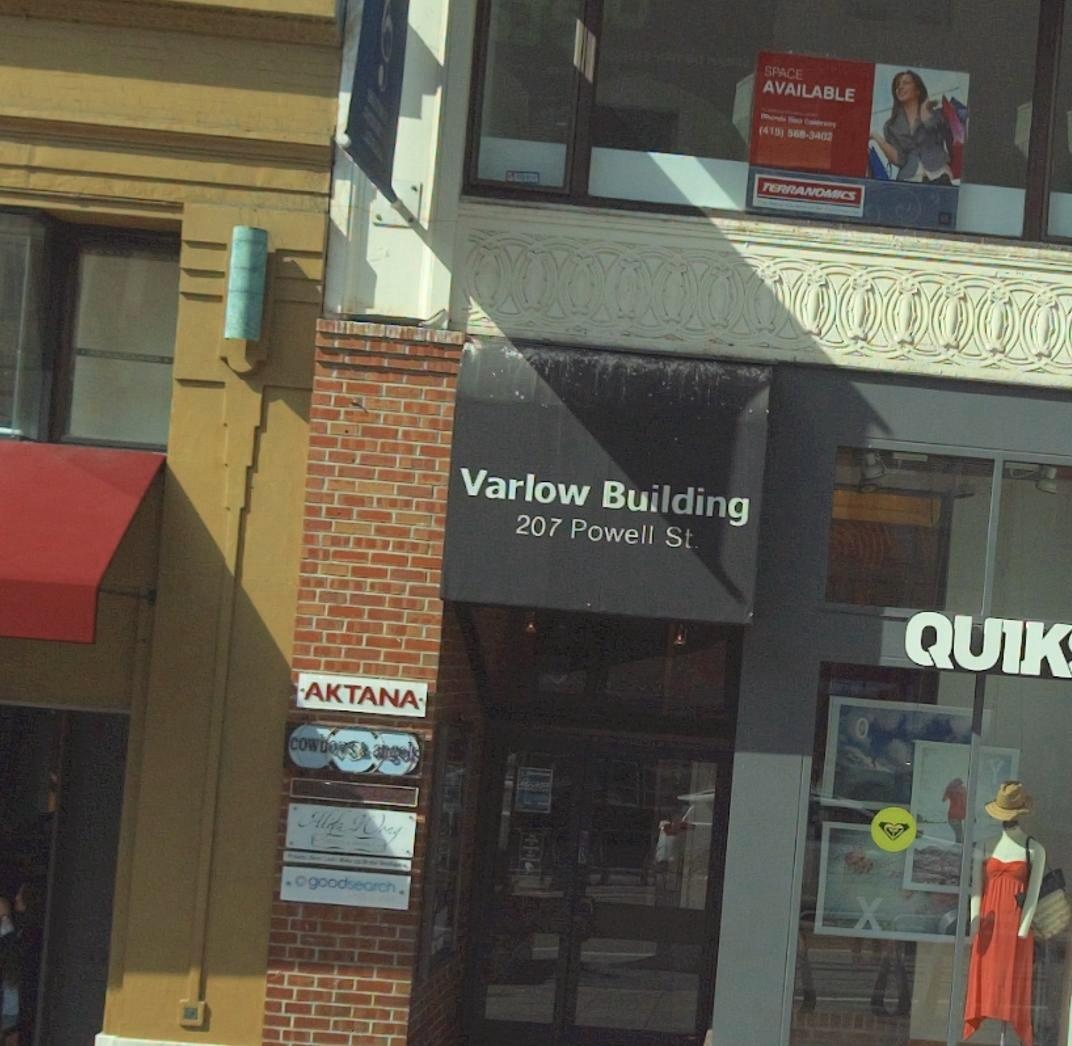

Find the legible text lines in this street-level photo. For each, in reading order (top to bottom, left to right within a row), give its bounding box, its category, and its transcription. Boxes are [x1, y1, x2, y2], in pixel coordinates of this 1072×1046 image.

[762, 60, 805, 84] None: SPACE
[759, 76, 860, 107] None: AVAILABLE
[754, 121, 837, 146] None: (410) *68-3402
[758, 179, 860, 207] None: TERRANOMICS
[455, 462, 753, 533] BusinessName: Varlow Building
[512, 510, 567, 542] StreetNumber: 207
[566, 515, 703, 554] StreetName: Powell St.
[899, 600, 1072, 686] BusinessName: QUIK
[295, 677, 425, 713] None: AKTANA
[287, 735, 325, 757] None: cow
[370, 737, 427, 769] None: angels
[289, 871, 398, 899] None: ogoodsearch.
[849, 891, 889, 937] None: X